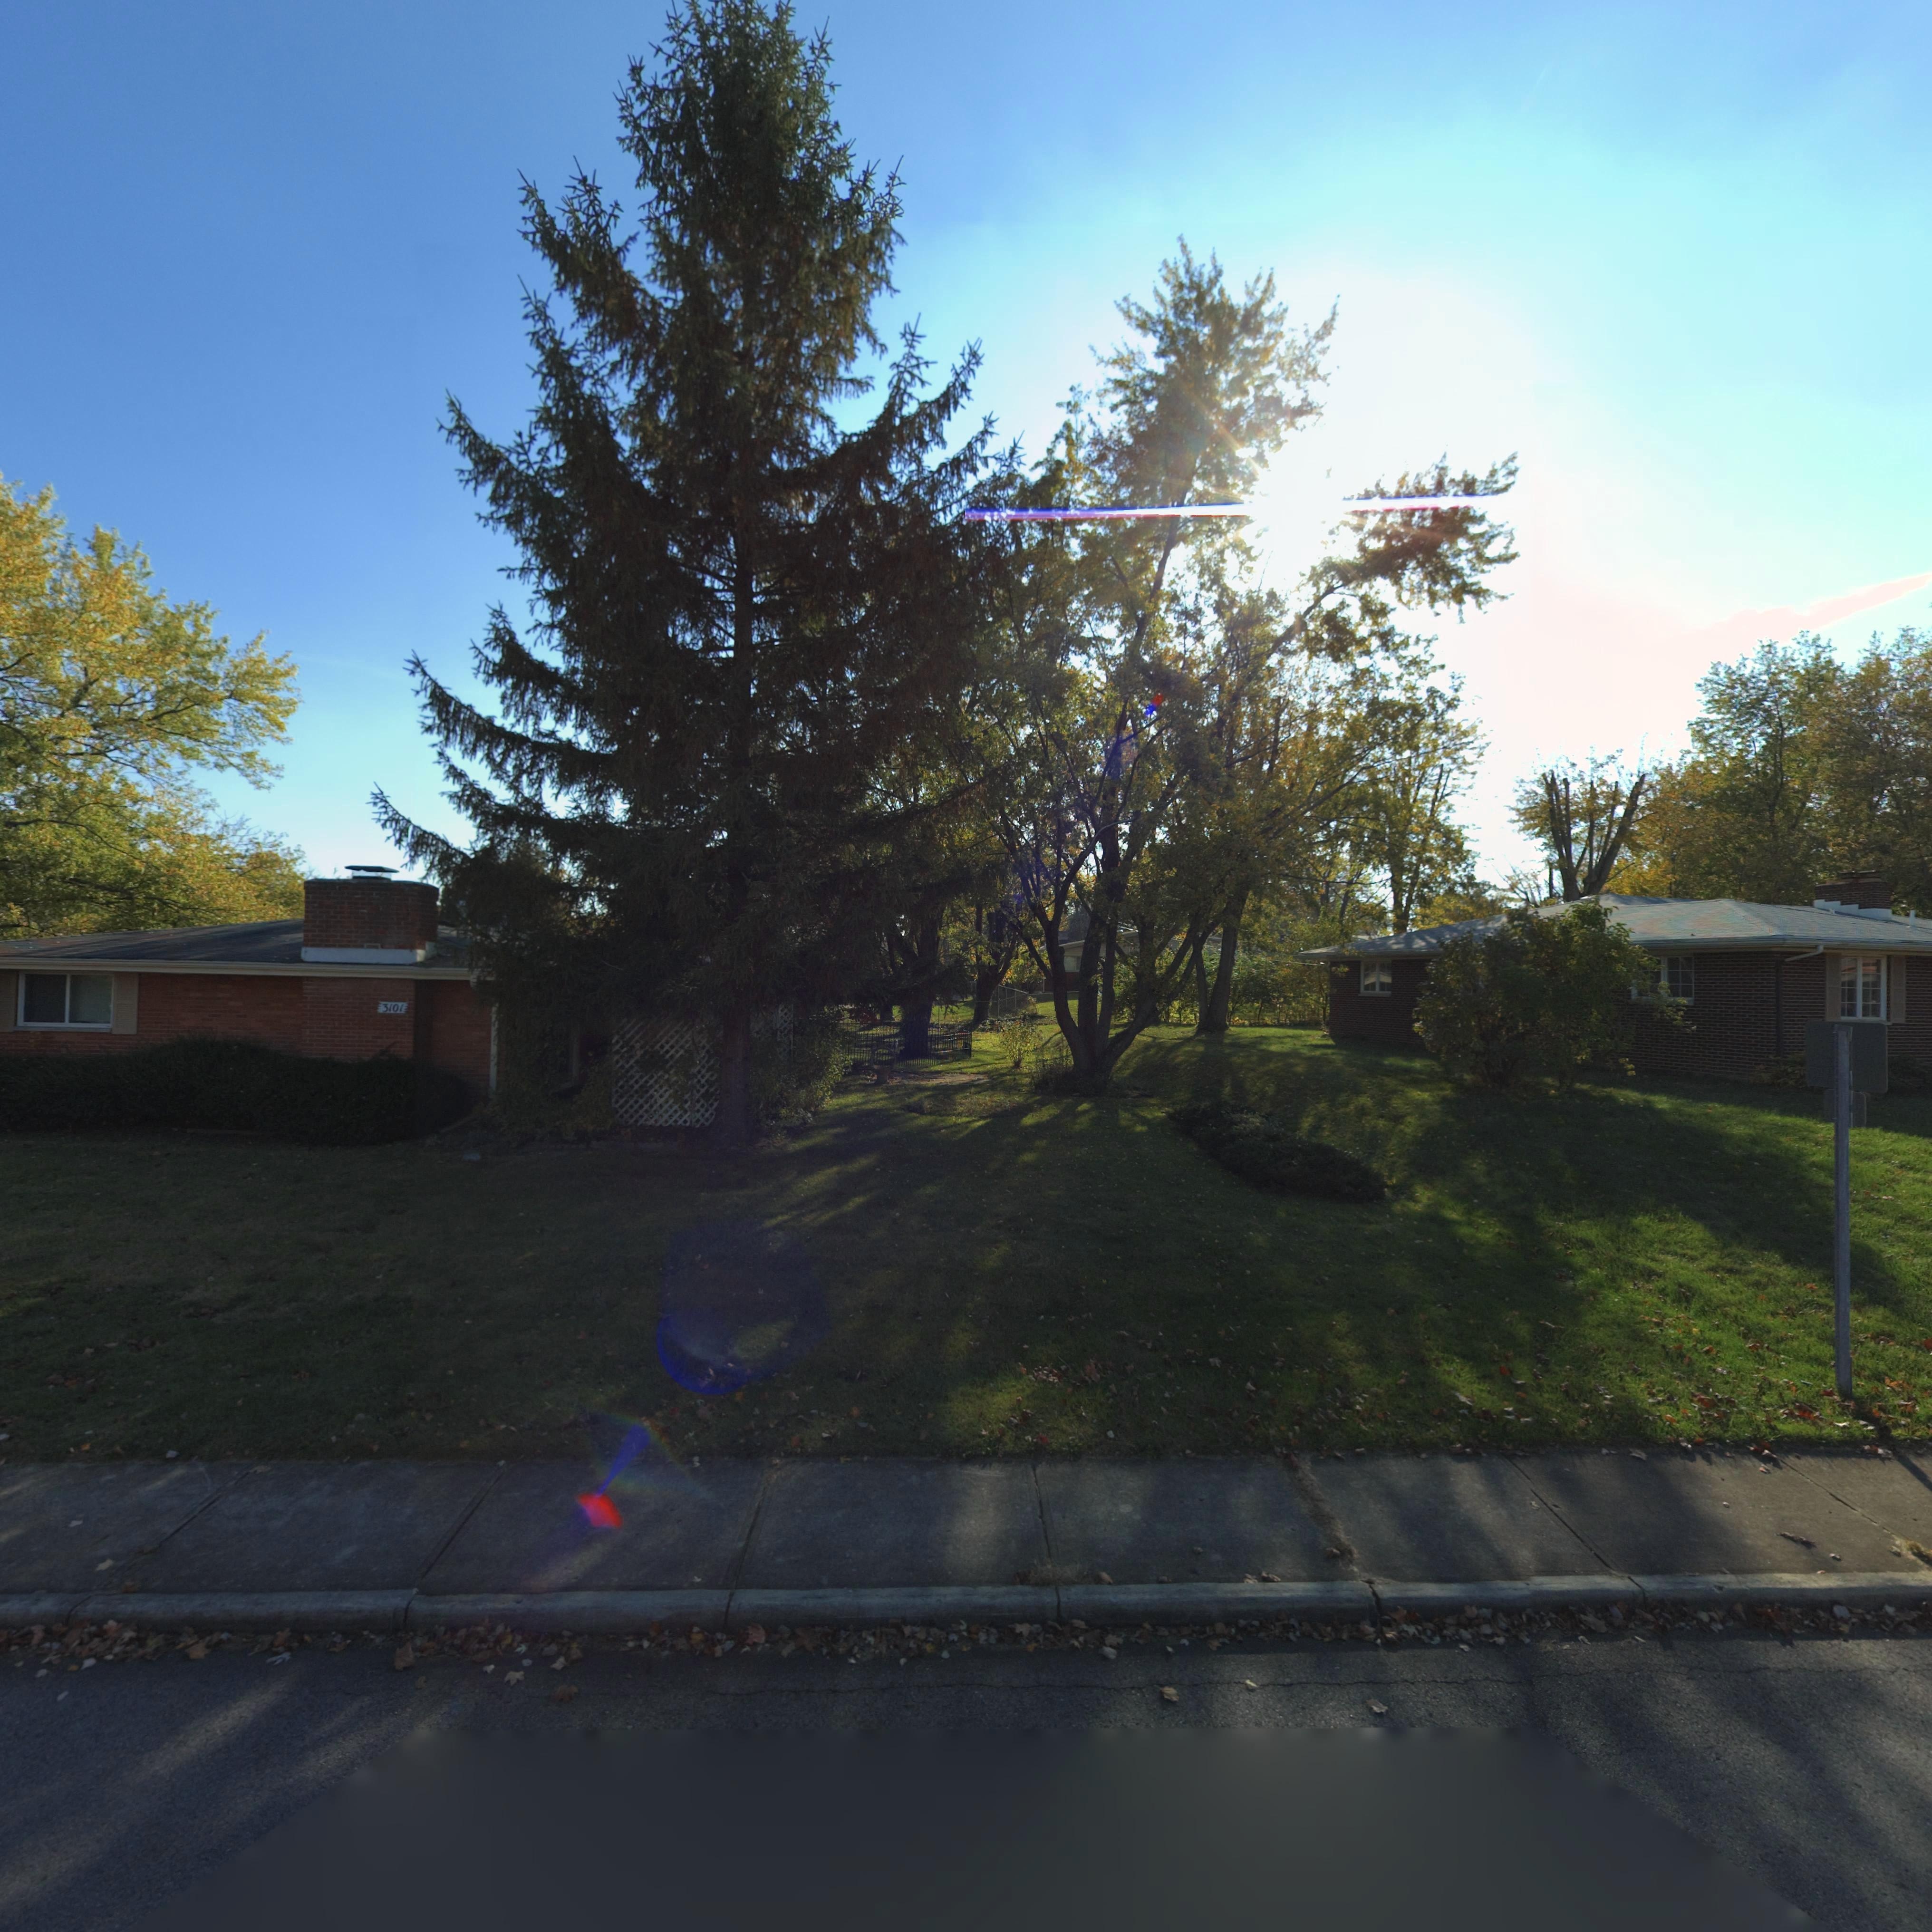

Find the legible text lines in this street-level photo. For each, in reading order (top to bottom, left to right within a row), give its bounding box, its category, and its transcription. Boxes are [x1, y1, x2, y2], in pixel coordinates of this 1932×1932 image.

[381, 1003, 406, 1014] StreetNumber: 3101